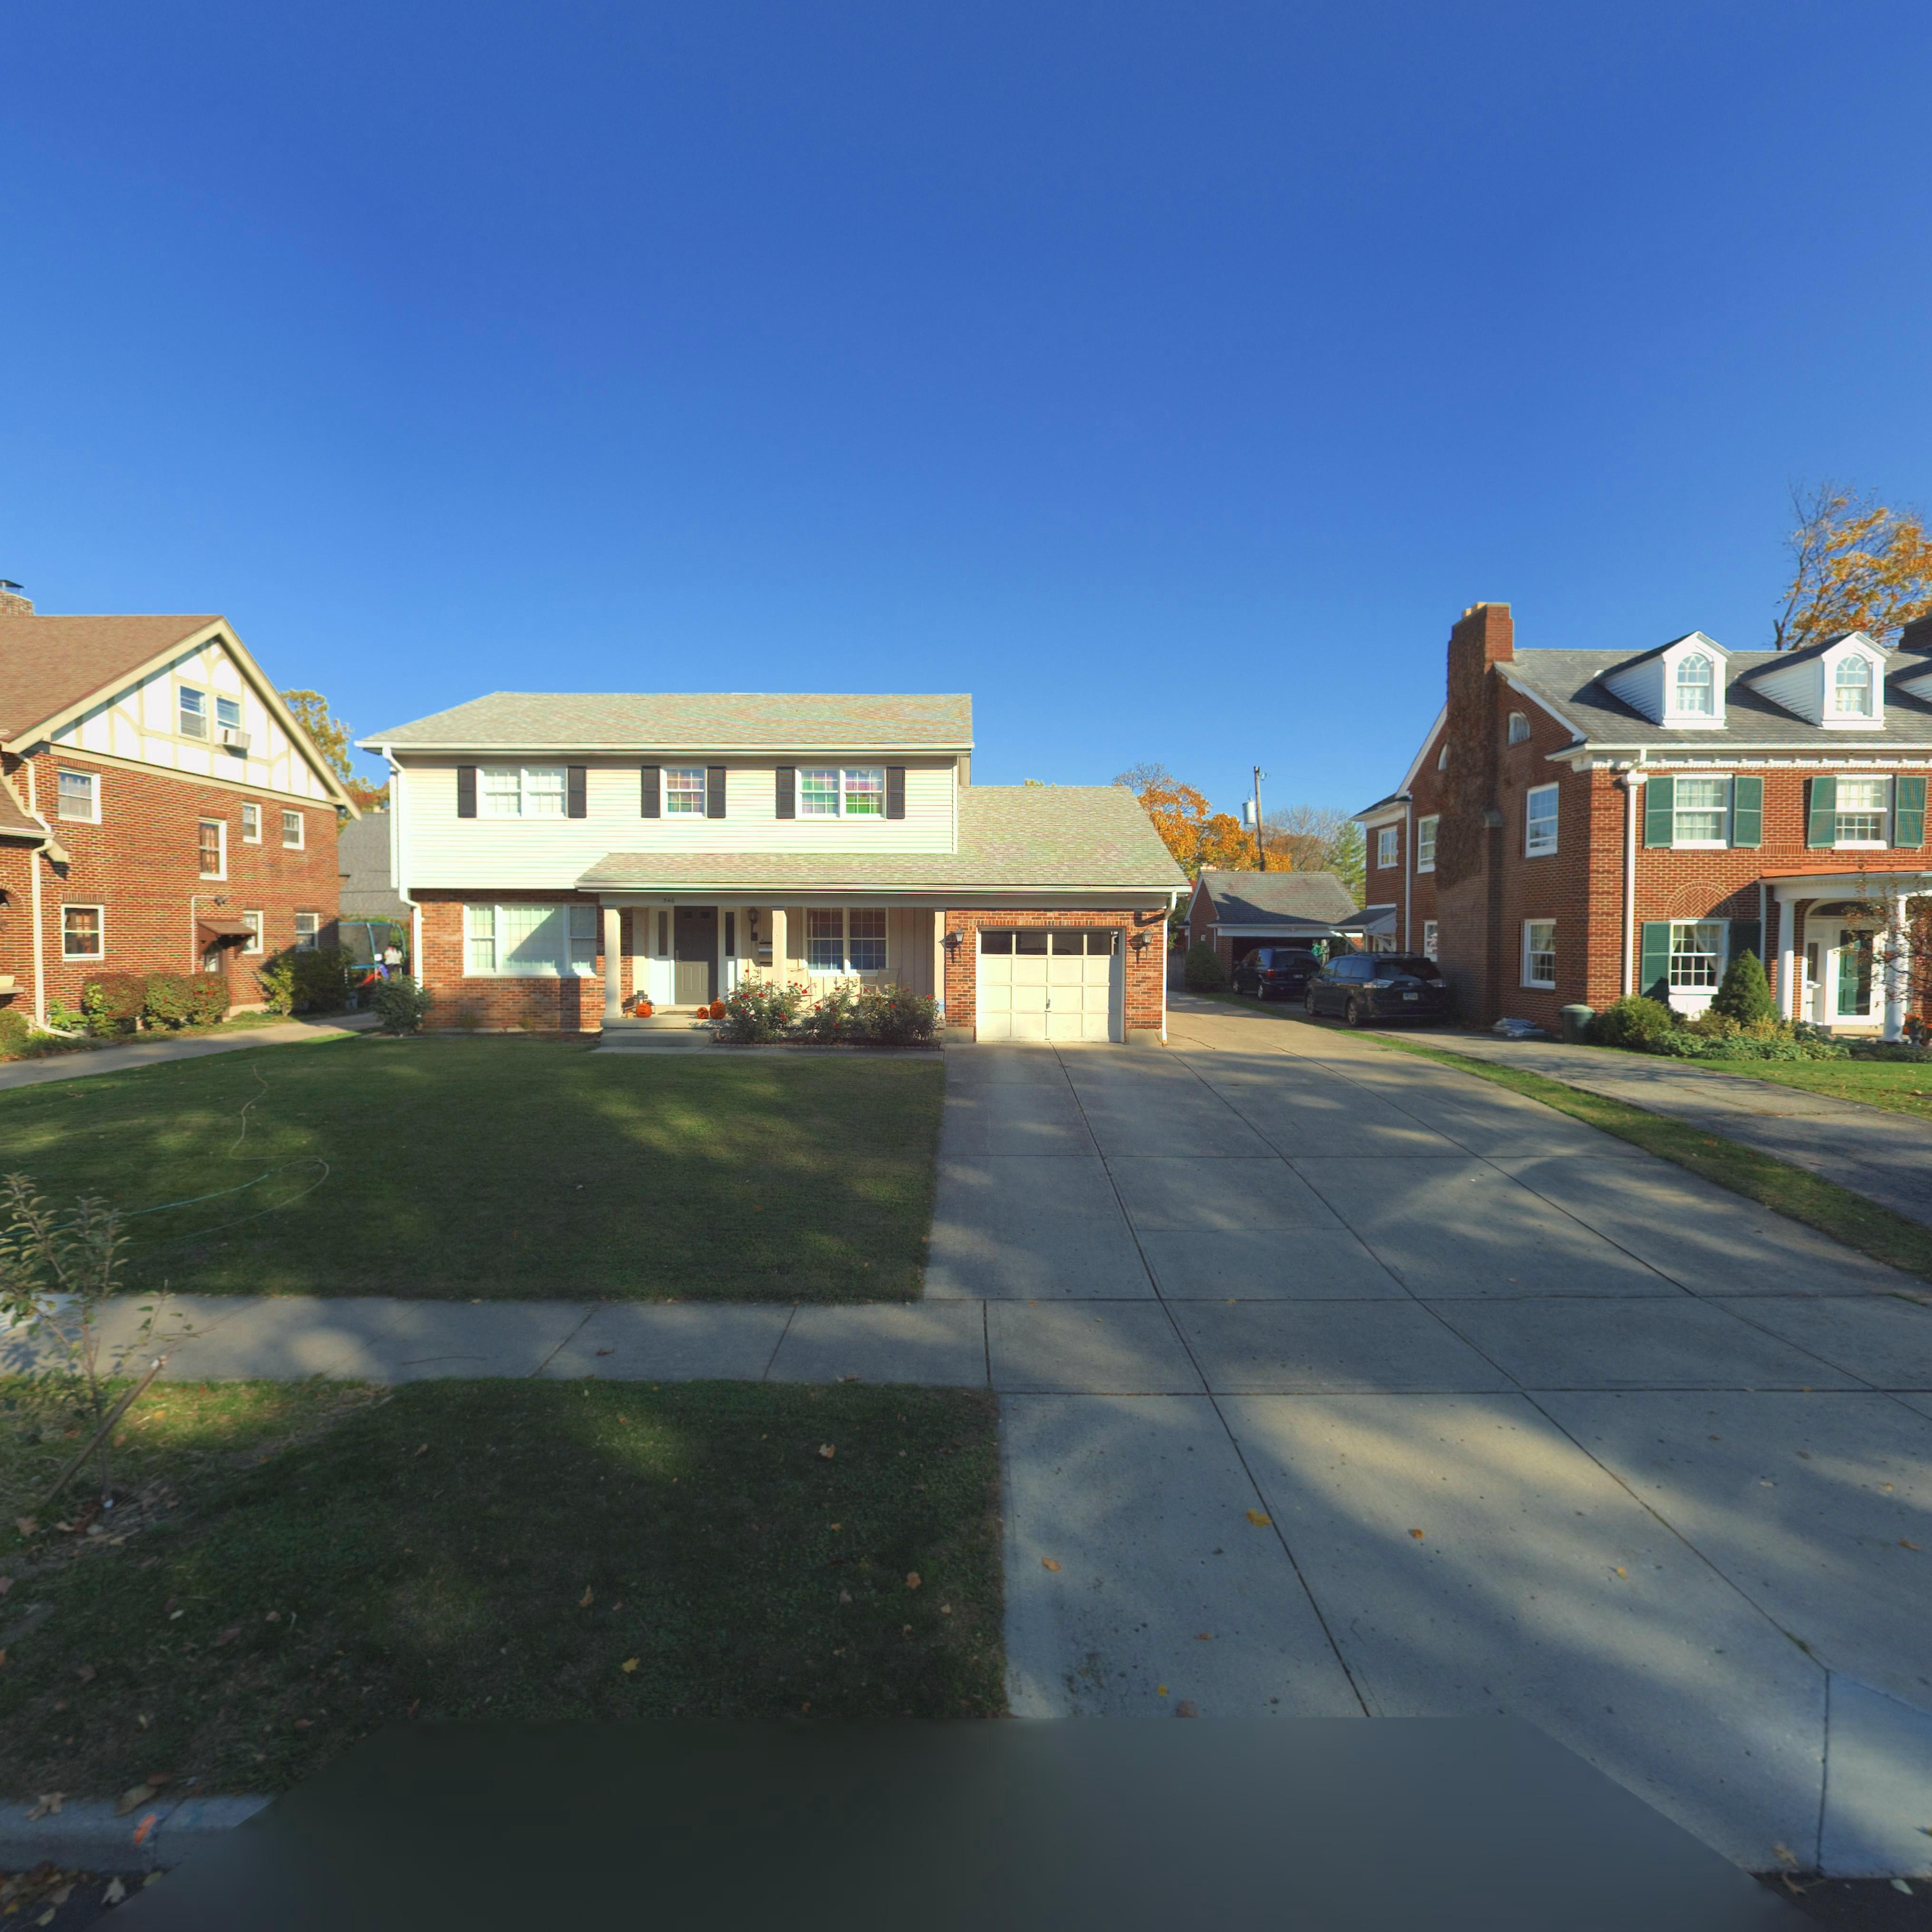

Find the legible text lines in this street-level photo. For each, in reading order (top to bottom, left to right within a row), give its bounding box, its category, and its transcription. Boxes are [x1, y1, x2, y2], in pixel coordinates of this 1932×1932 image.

[662, 897, 676, 904] StreetNumber: 546